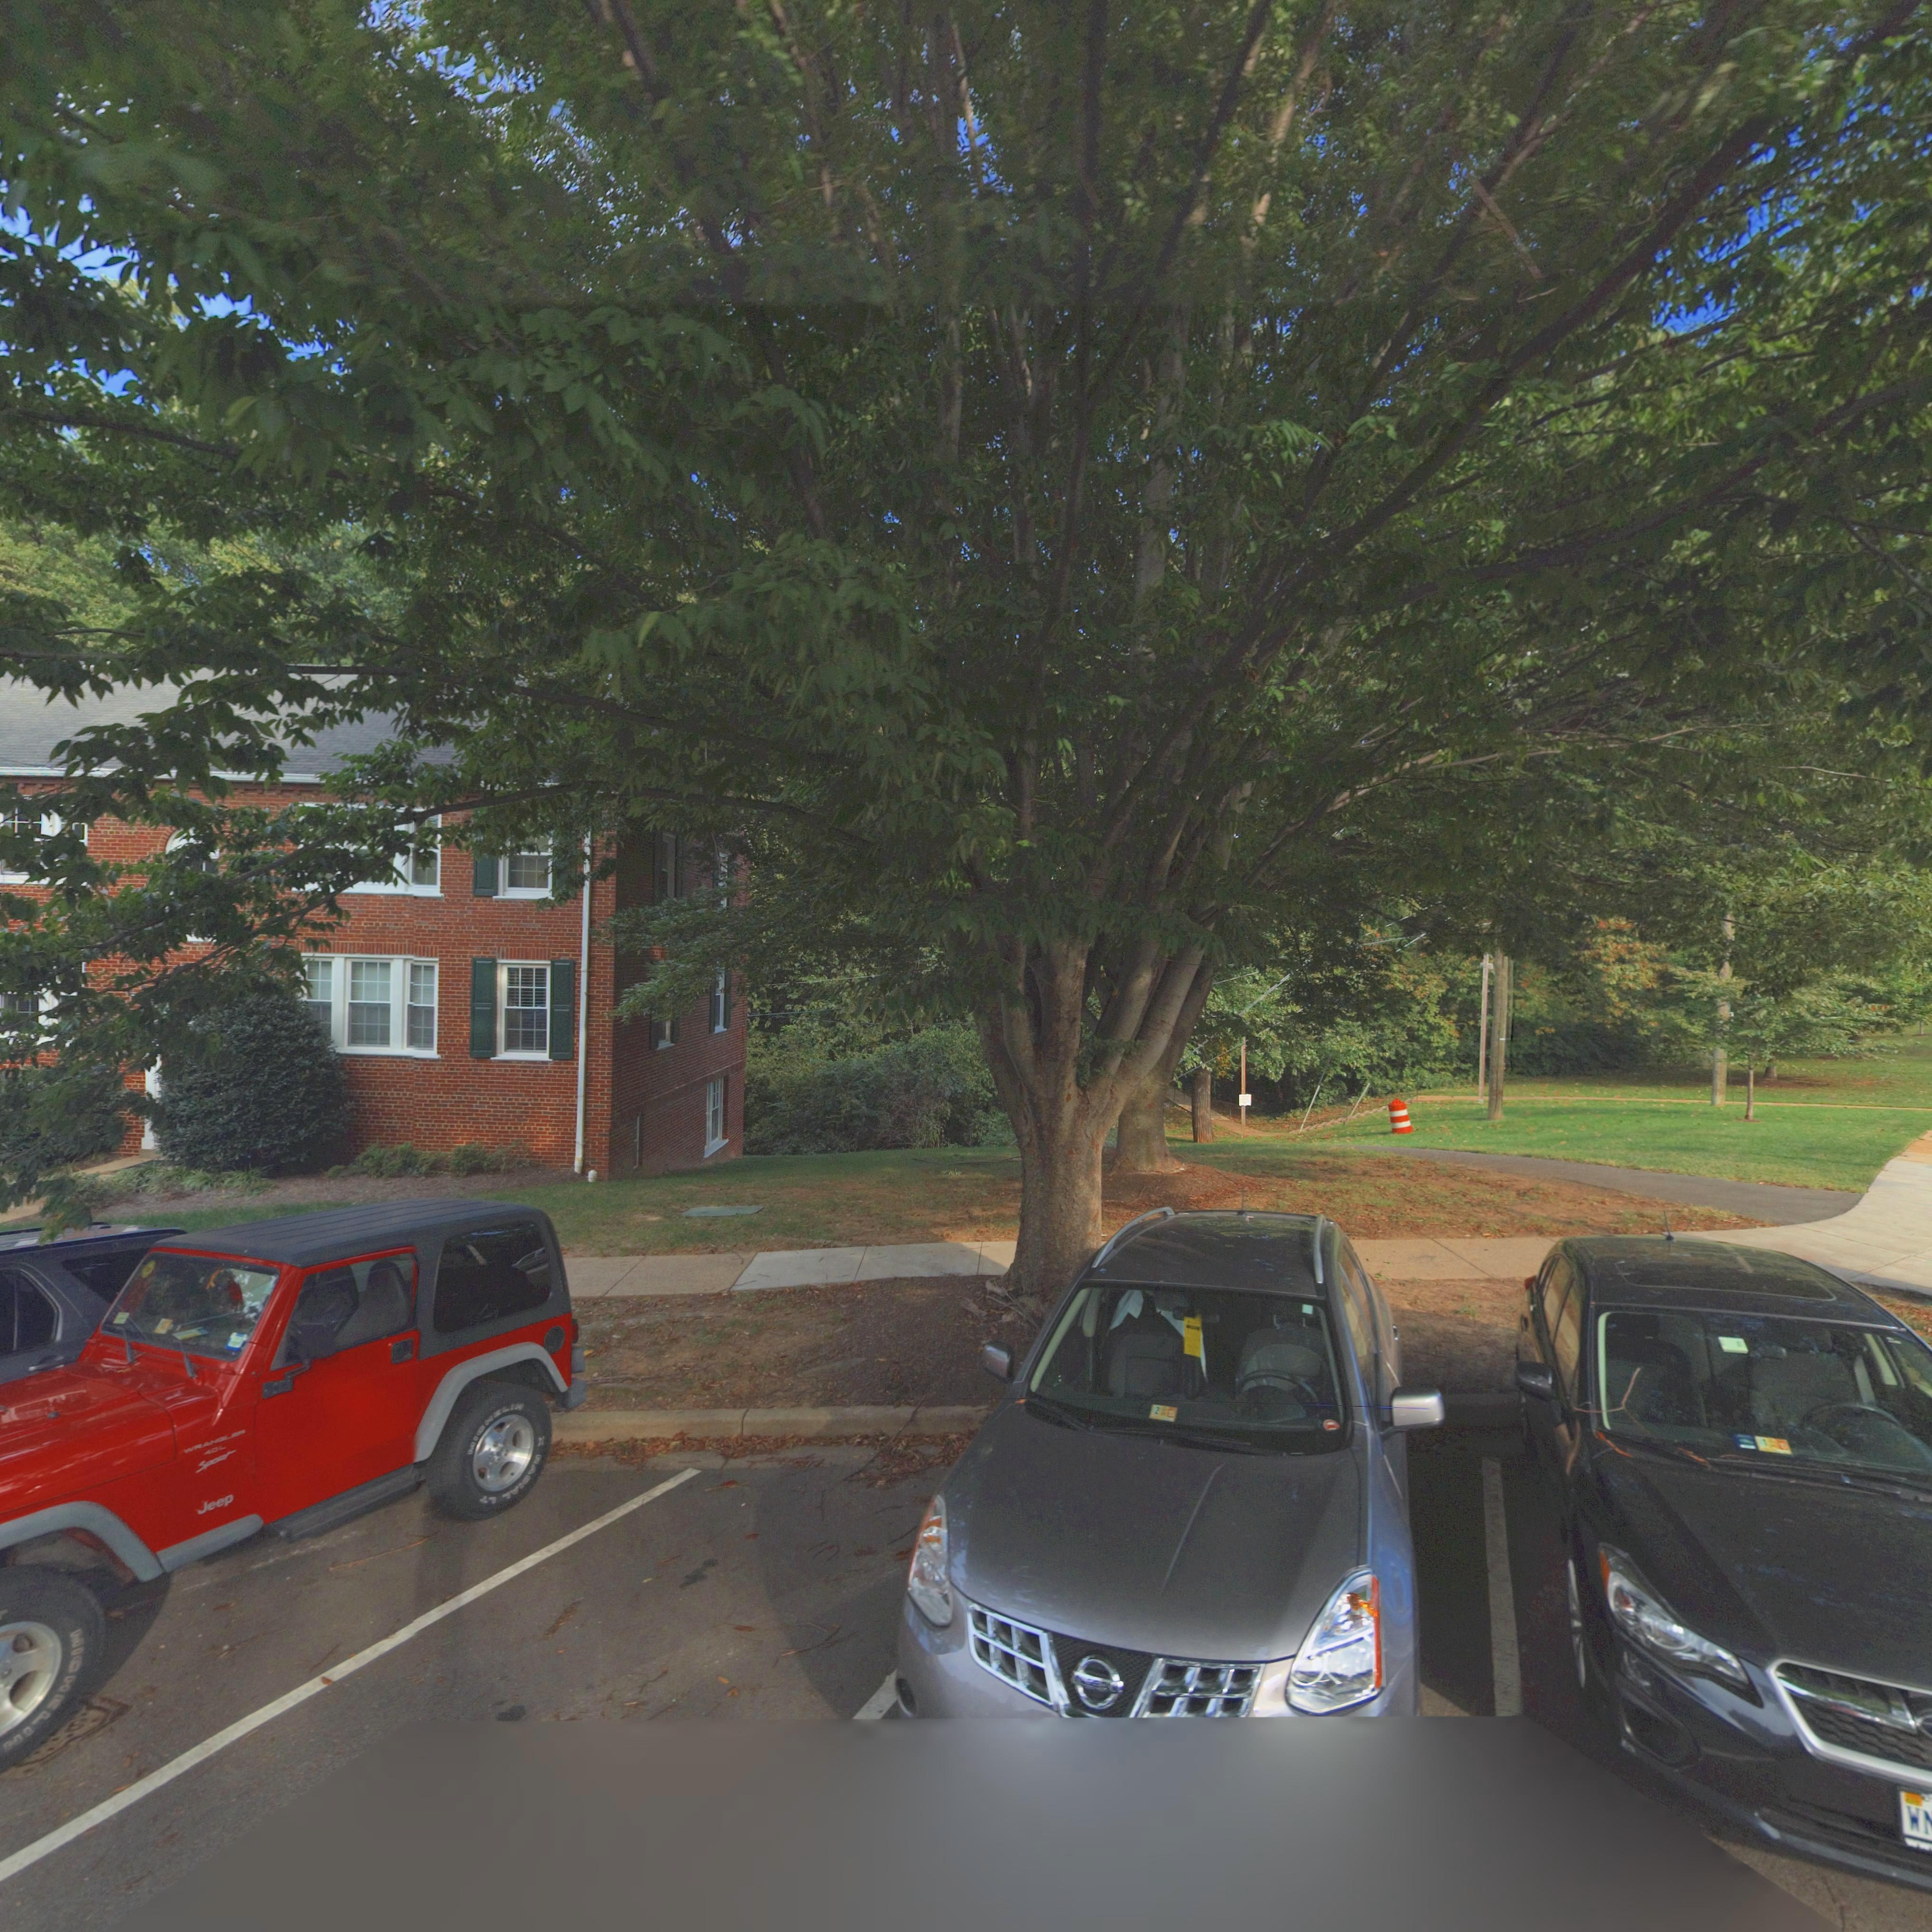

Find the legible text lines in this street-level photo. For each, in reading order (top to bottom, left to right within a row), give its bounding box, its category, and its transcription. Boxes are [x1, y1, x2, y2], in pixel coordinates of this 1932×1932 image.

[1153, 1406, 1162, 1416] None: 2
[183, 1436, 221, 1456] None: WRAN
[202, 1443, 229, 1457] None: 40L
[1761, 1438, 1769, 1447] None: 1
[194, 1492, 237, 1518] None: Jeep
[2, 1623, 87, 1761] None: MICH****
[1903, 1800, 1924, 1836] None: W